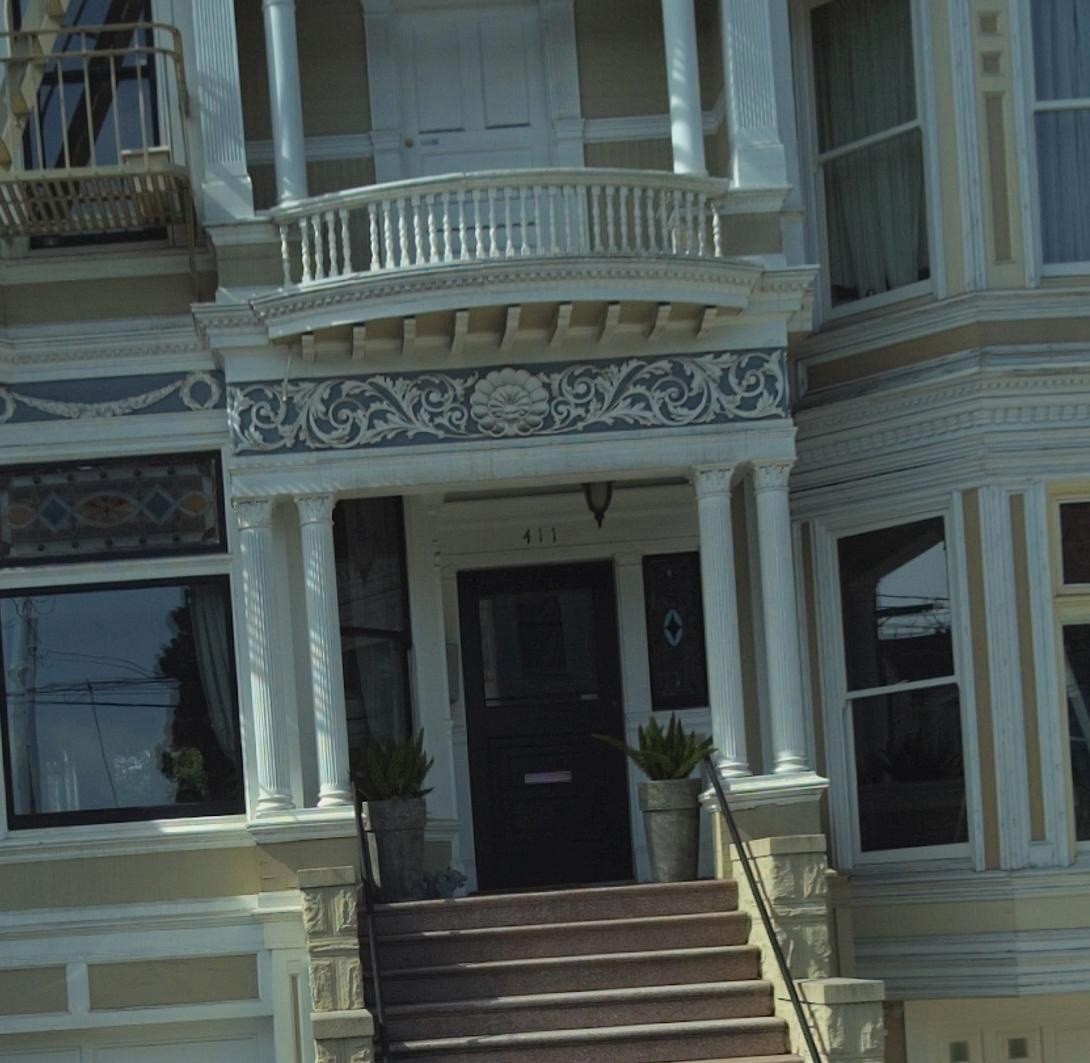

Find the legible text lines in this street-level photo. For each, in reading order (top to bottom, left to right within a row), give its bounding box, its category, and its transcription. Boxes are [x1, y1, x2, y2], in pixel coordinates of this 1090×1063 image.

[520, 524, 559, 547] StreetNumber: 411